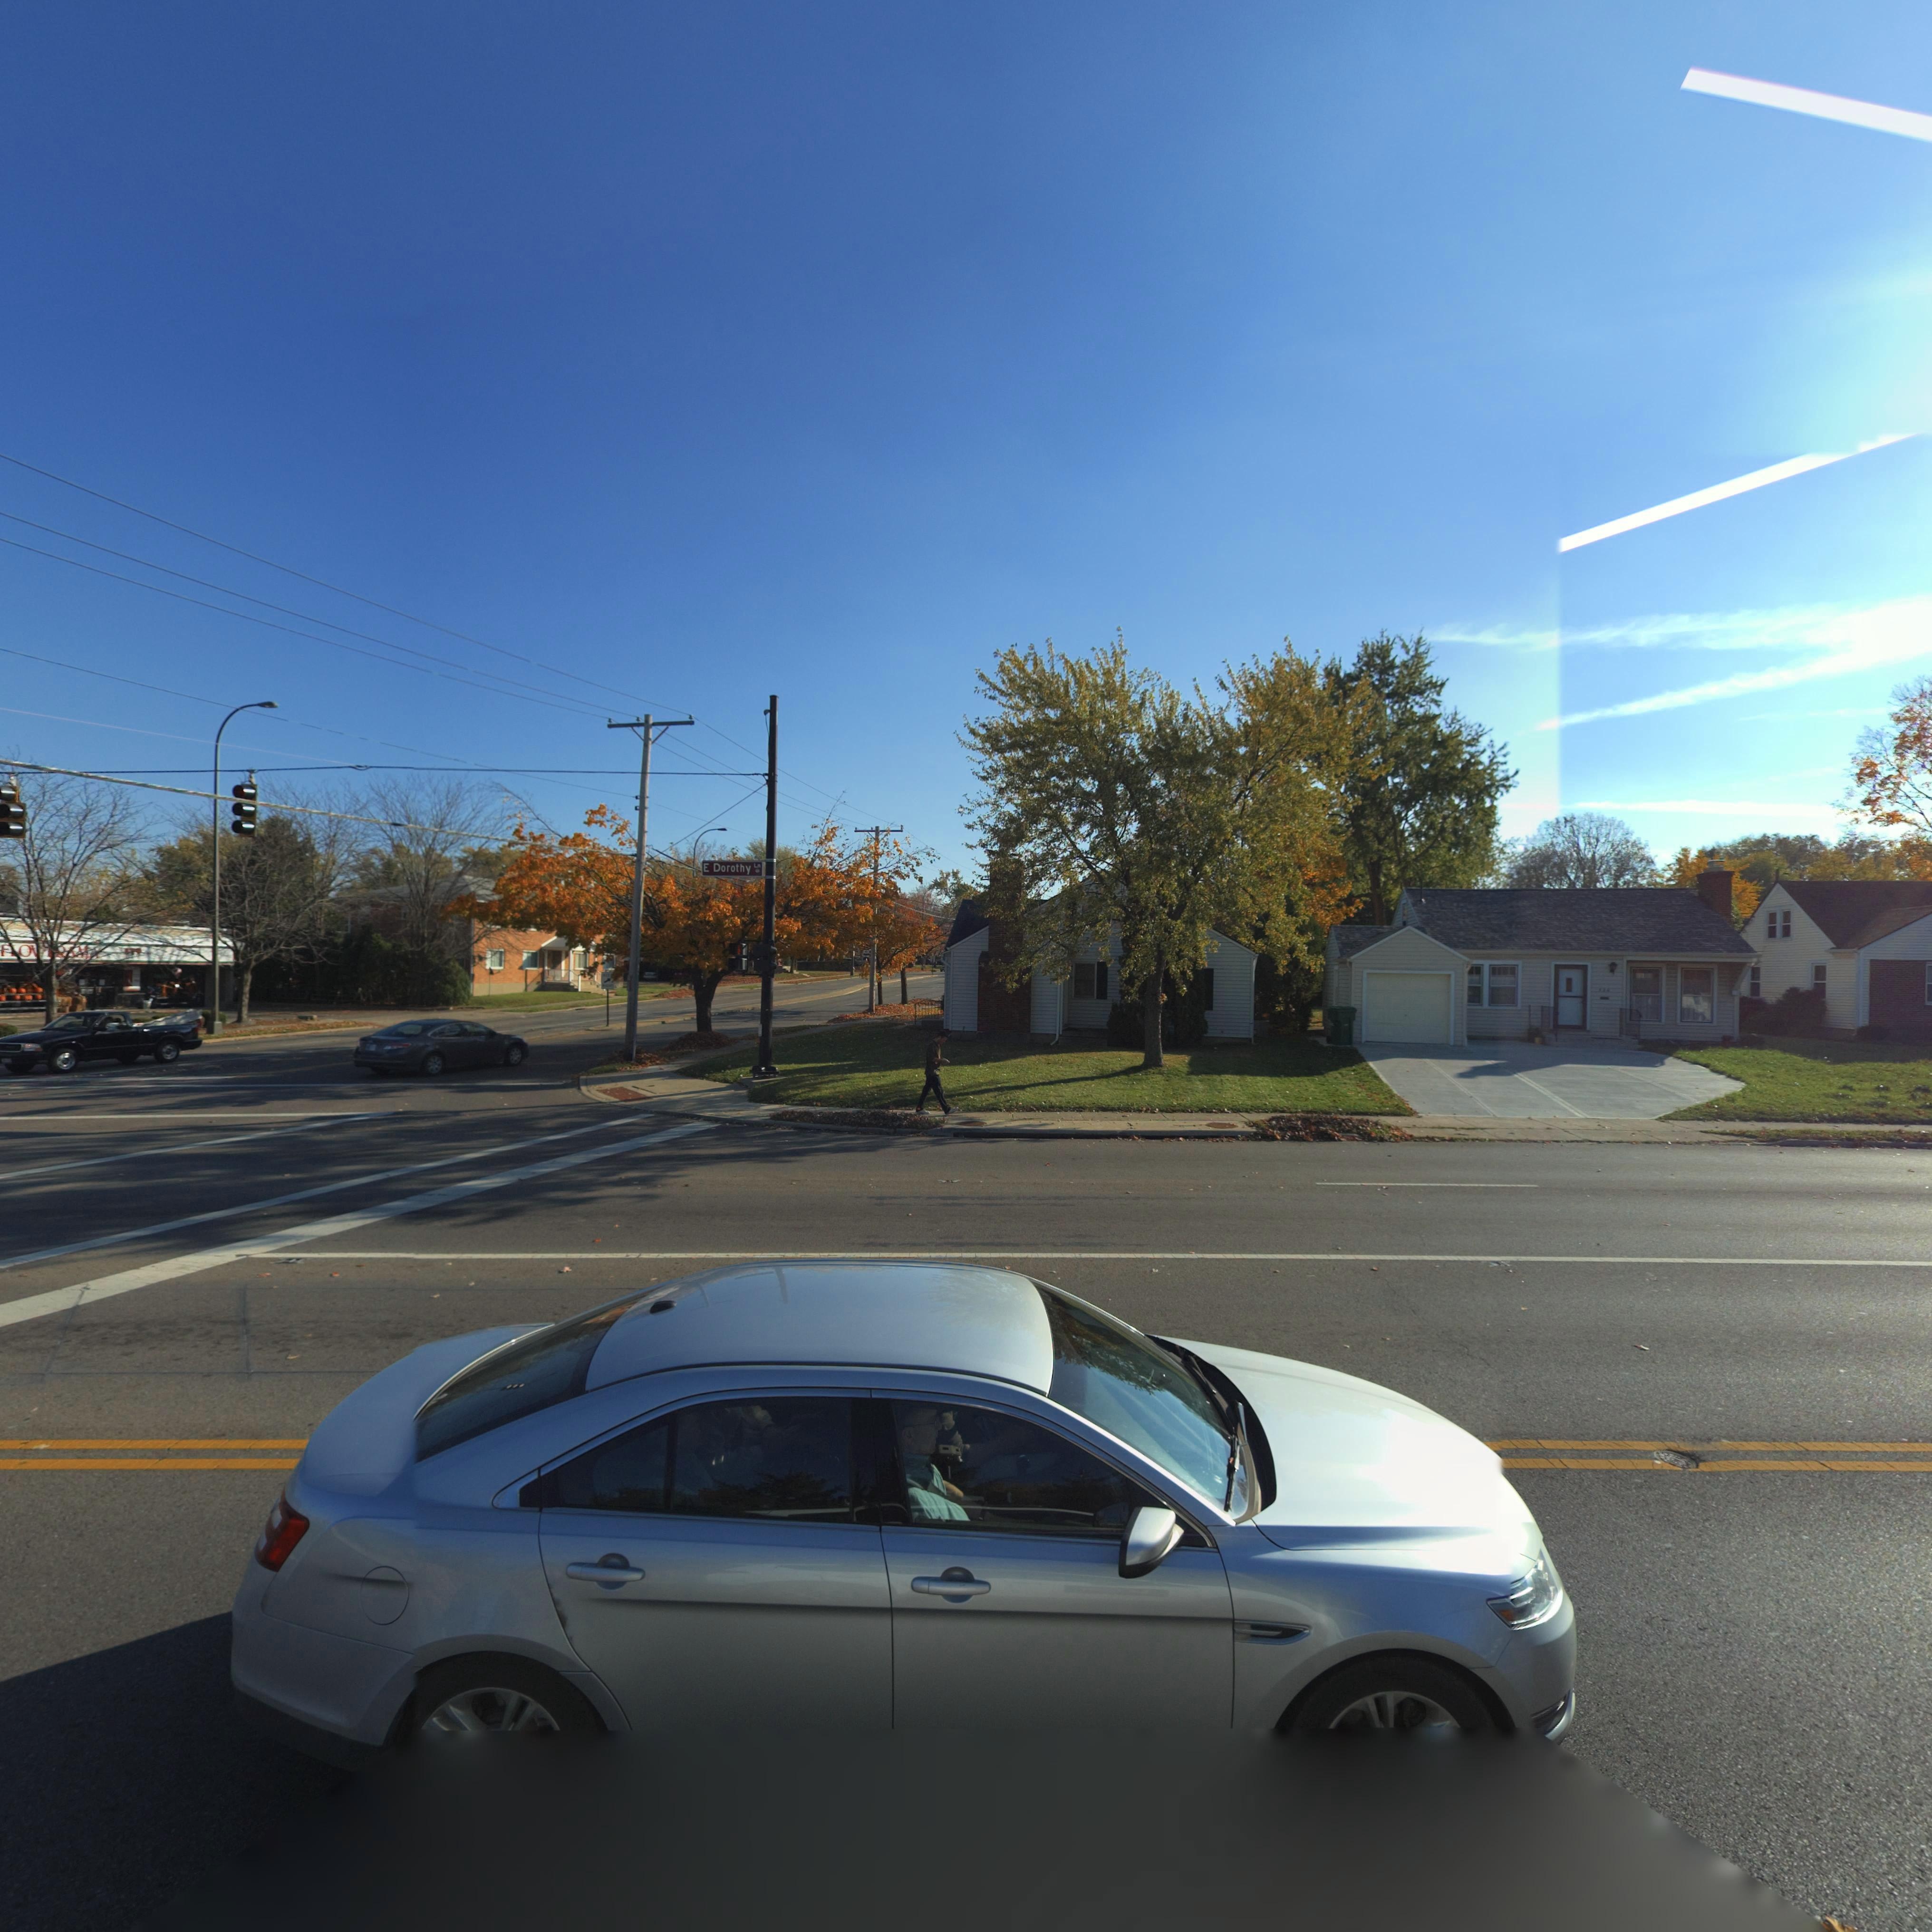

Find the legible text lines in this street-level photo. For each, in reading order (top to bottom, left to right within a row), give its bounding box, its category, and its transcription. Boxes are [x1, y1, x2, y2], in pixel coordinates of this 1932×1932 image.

[703, 862, 761, 876] StreetName: E Dorothy Ln
[18, 944, 33, 958] BusinessName: O
[1597, 986, 1610, 992] StreetNumber: 436